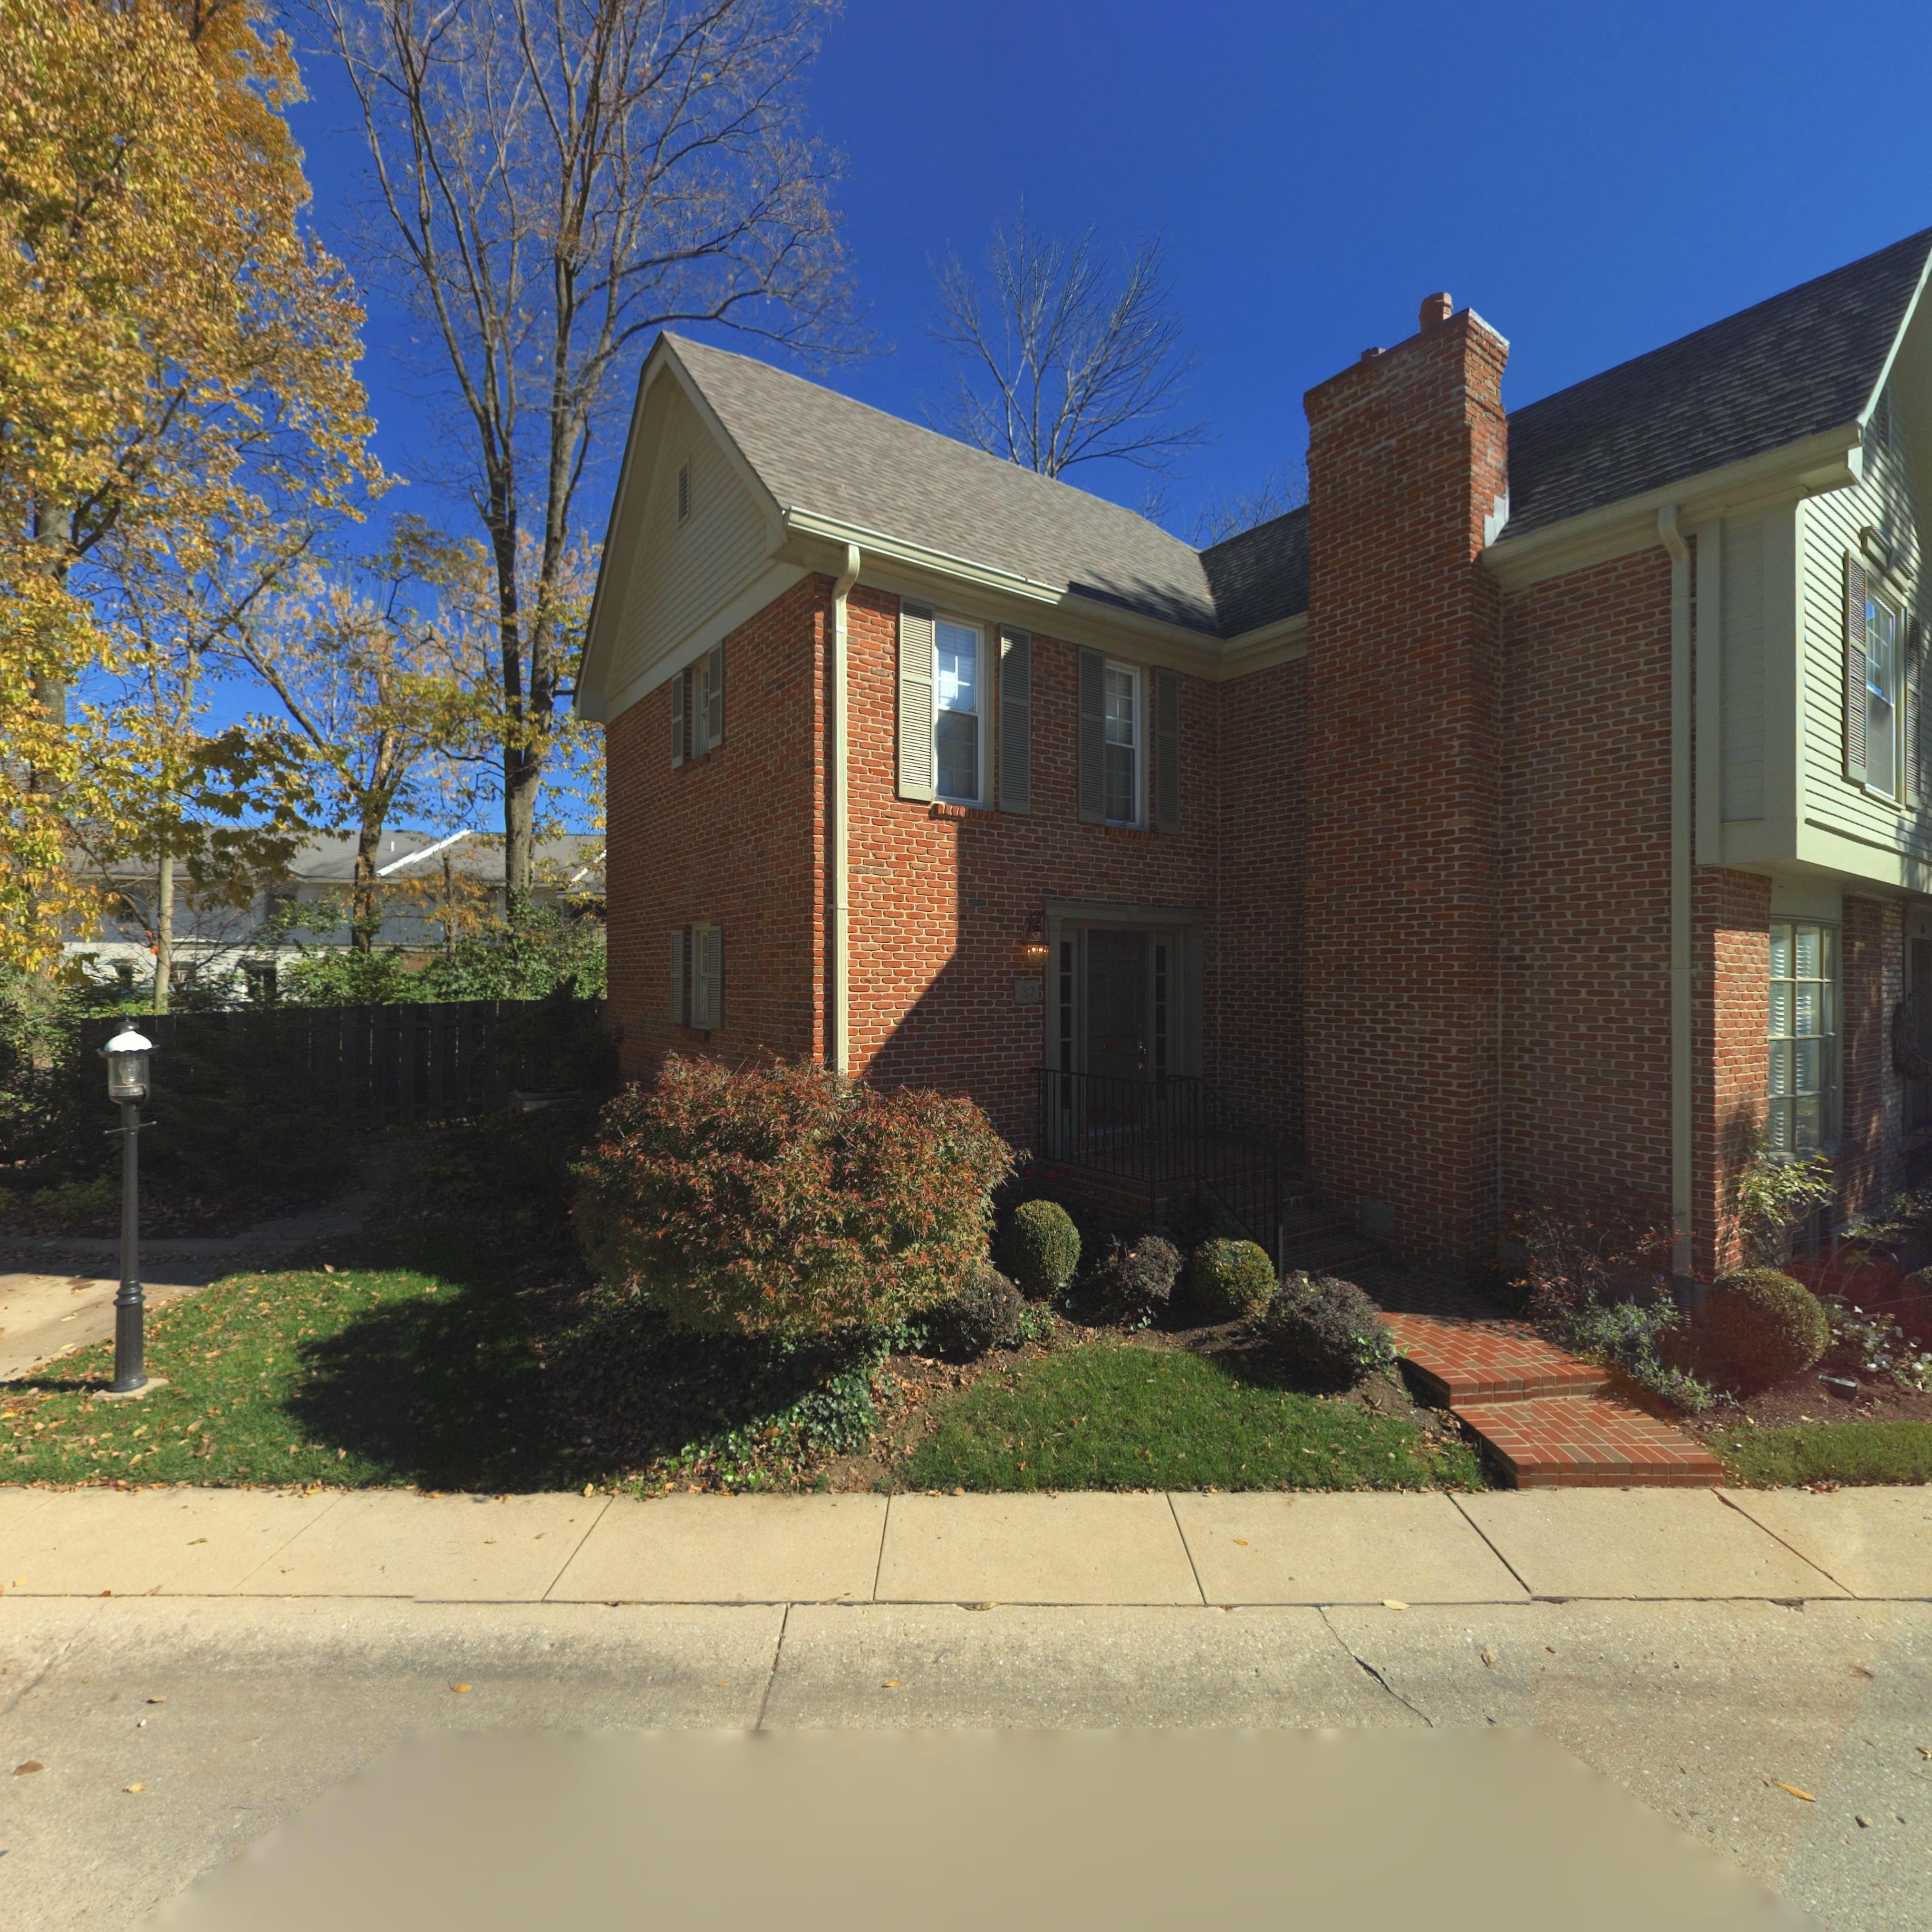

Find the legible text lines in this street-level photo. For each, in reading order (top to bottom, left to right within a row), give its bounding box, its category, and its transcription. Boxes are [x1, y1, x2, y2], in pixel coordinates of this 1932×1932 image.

[1019, 985, 1037, 999] StreetNumber: 37